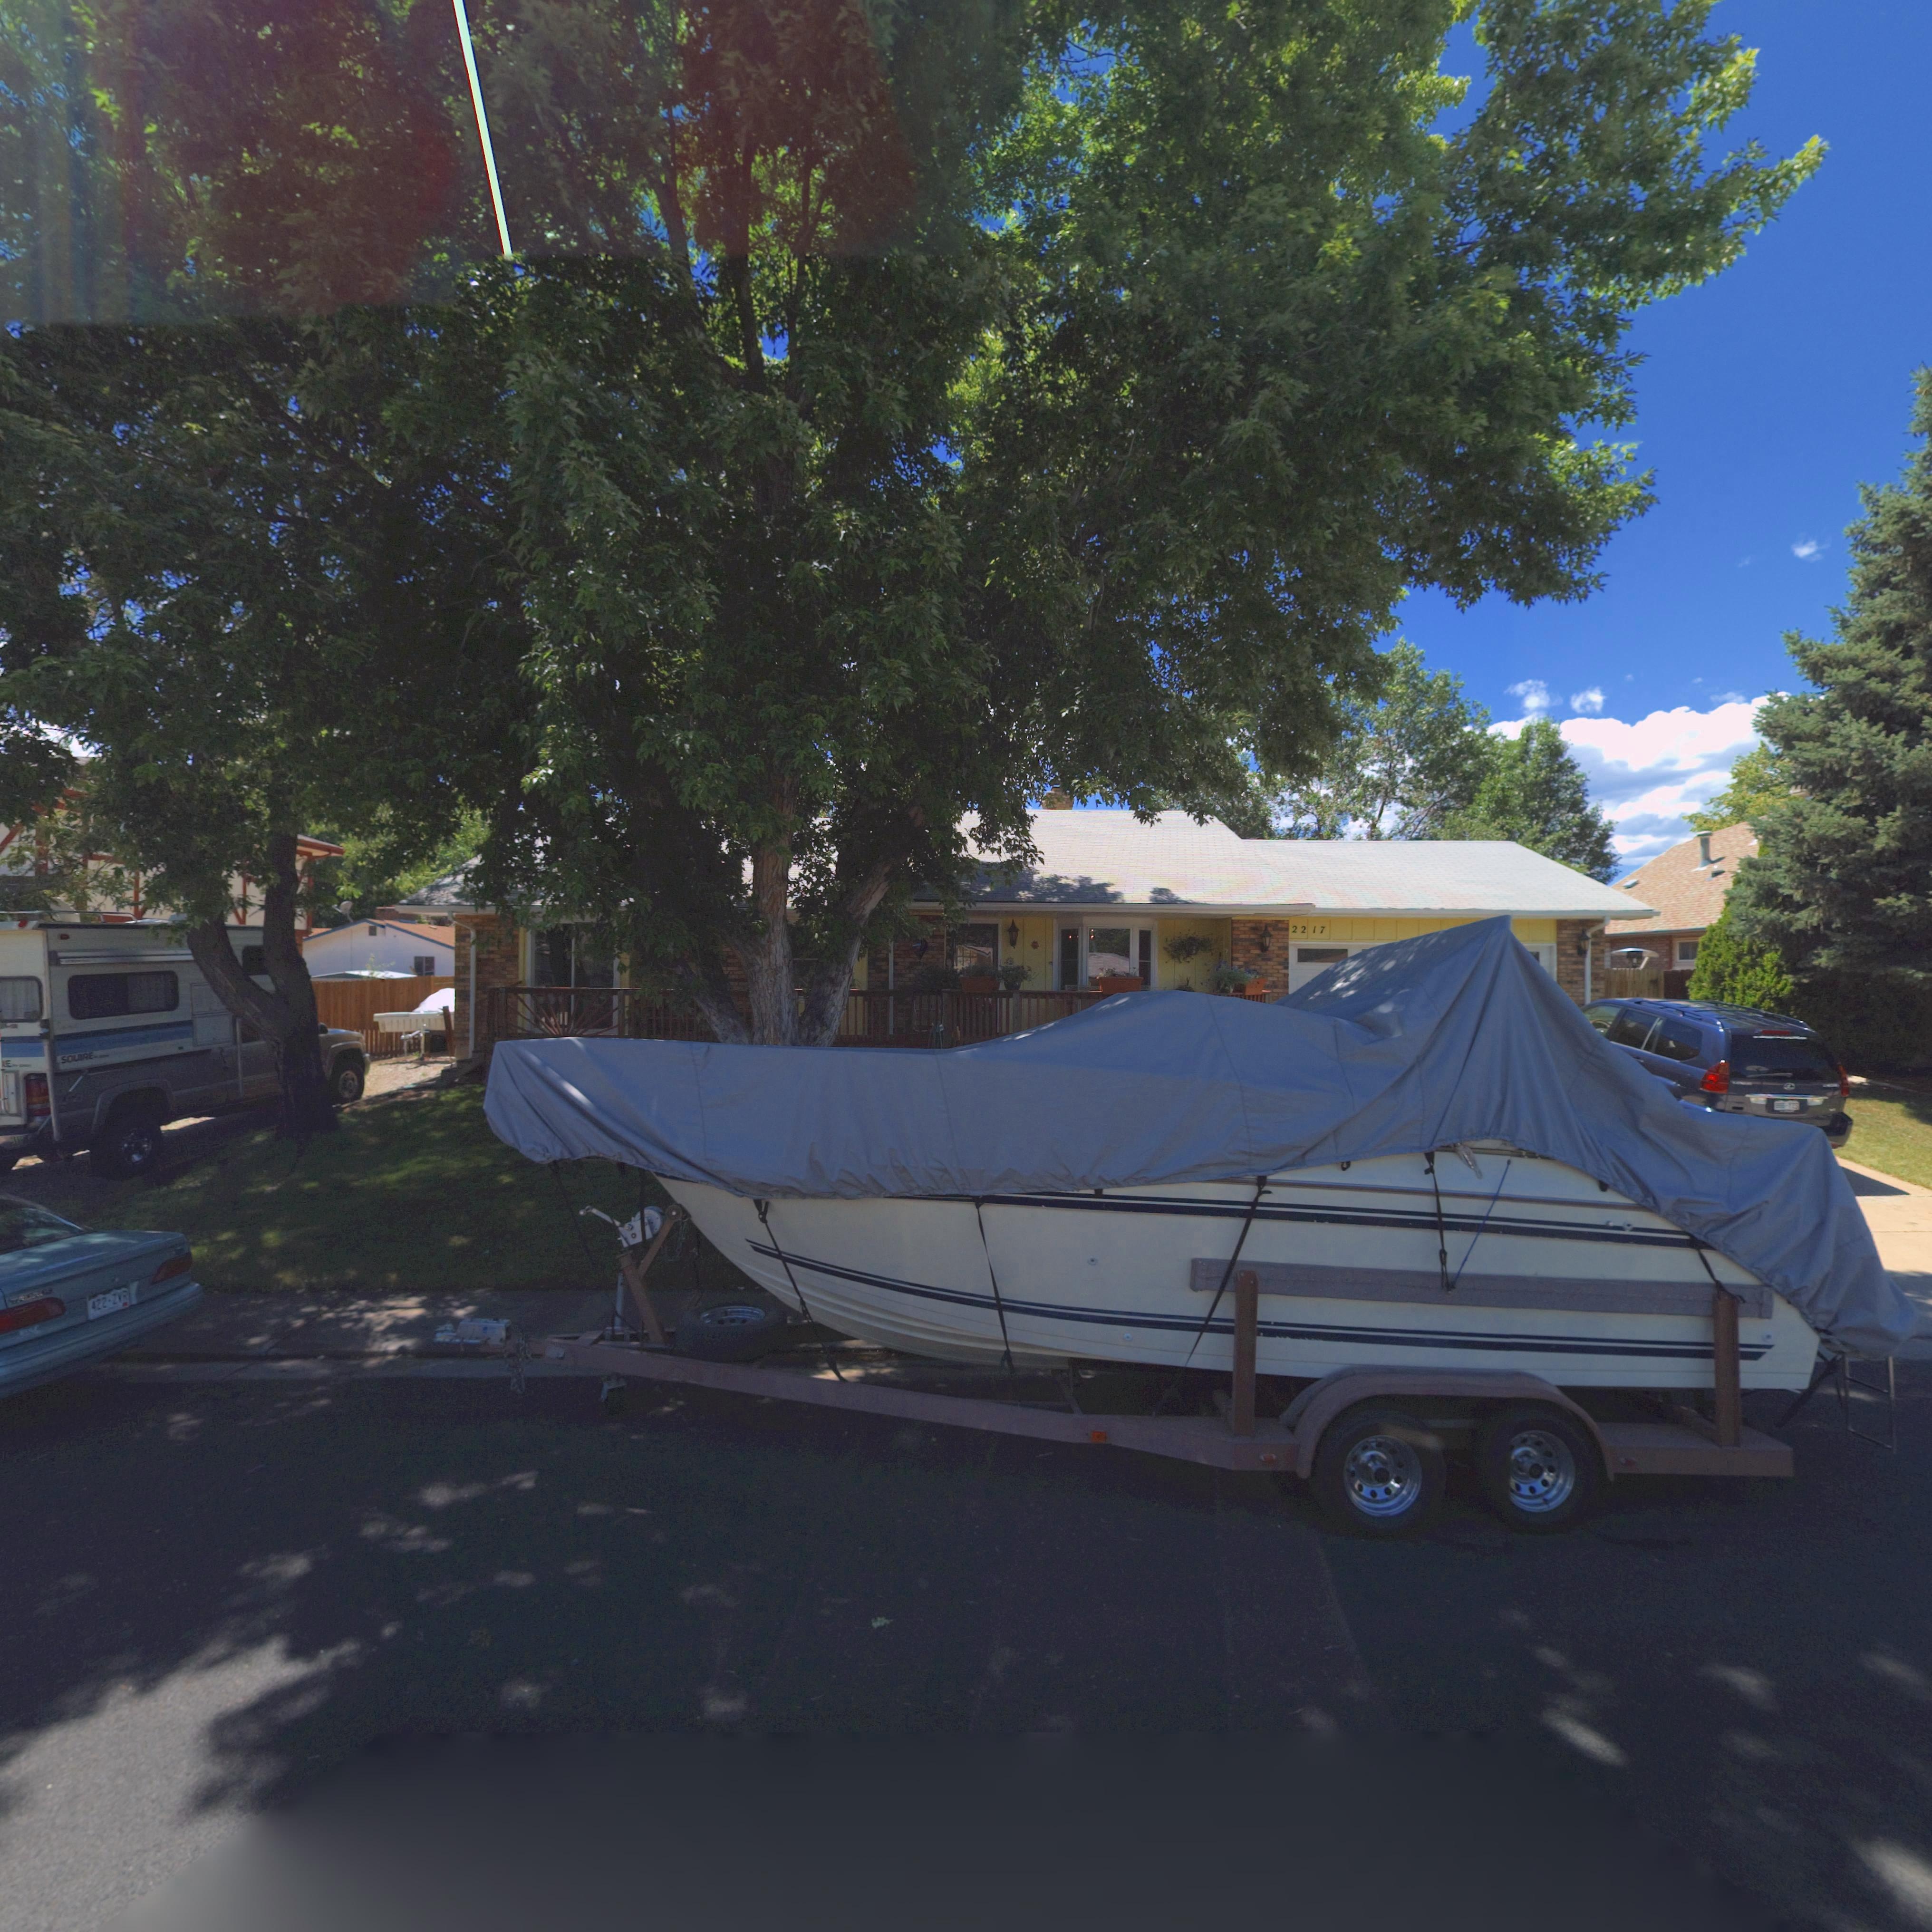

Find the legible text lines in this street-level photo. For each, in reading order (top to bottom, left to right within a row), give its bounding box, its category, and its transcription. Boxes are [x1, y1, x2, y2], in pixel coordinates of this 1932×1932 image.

[1291, 925, 1325, 934] StreetNumber: 2217